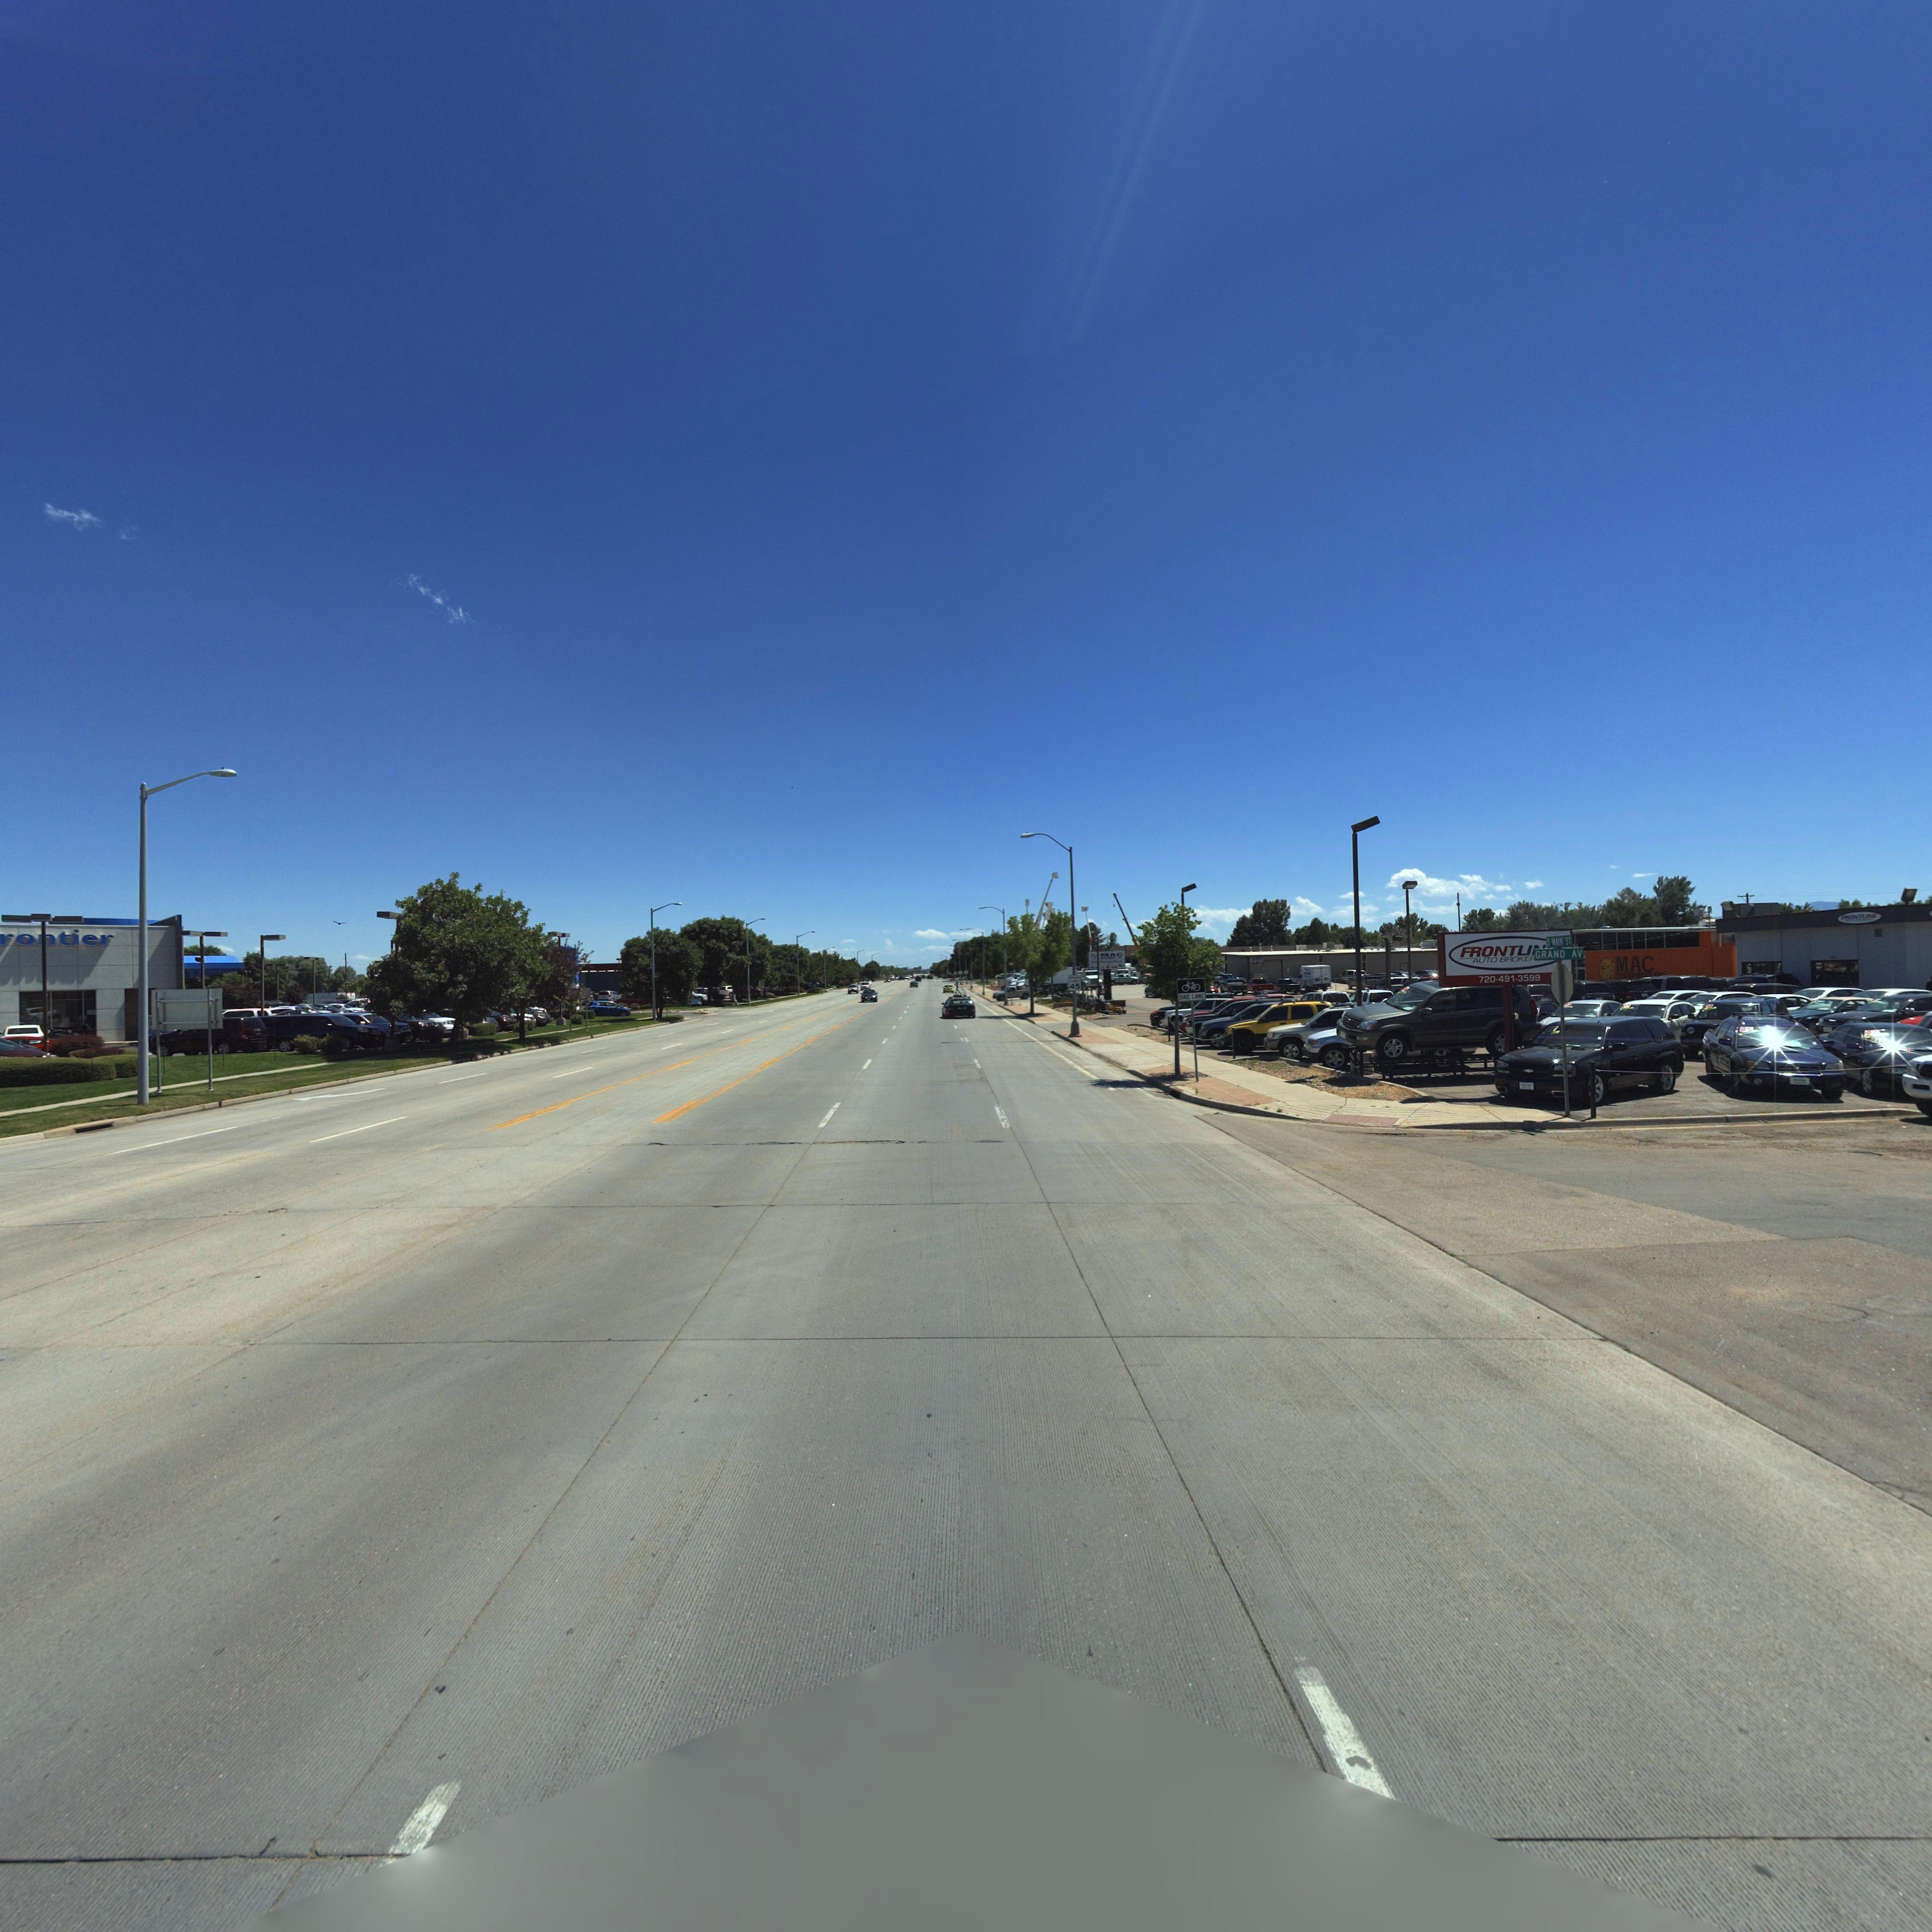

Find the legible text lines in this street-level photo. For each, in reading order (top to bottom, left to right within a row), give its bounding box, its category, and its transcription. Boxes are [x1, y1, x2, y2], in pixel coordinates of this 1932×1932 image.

[1840, 912, 1877, 920] BusinessName: FRONTL***
[16, 928, 115, 946] BusinessName: ontier
[1546, 937, 1572, 947] StreetName: S MAIN ST
[1100, 952, 1122, 957] BusinessName: MAC
[1471, 954, 1542, 963] BusinessName: AUTO BROKE**
[1459, 943, 1565, 959] BusinessName: FRONTLI**
[1535, 948, 1583, 959] StreetName: GRAND AV
[1614, 955, 1654, 972] BusinessName: MAC
[1615, 972, 1666, 980] BusinessName: E*UIPM**** ****